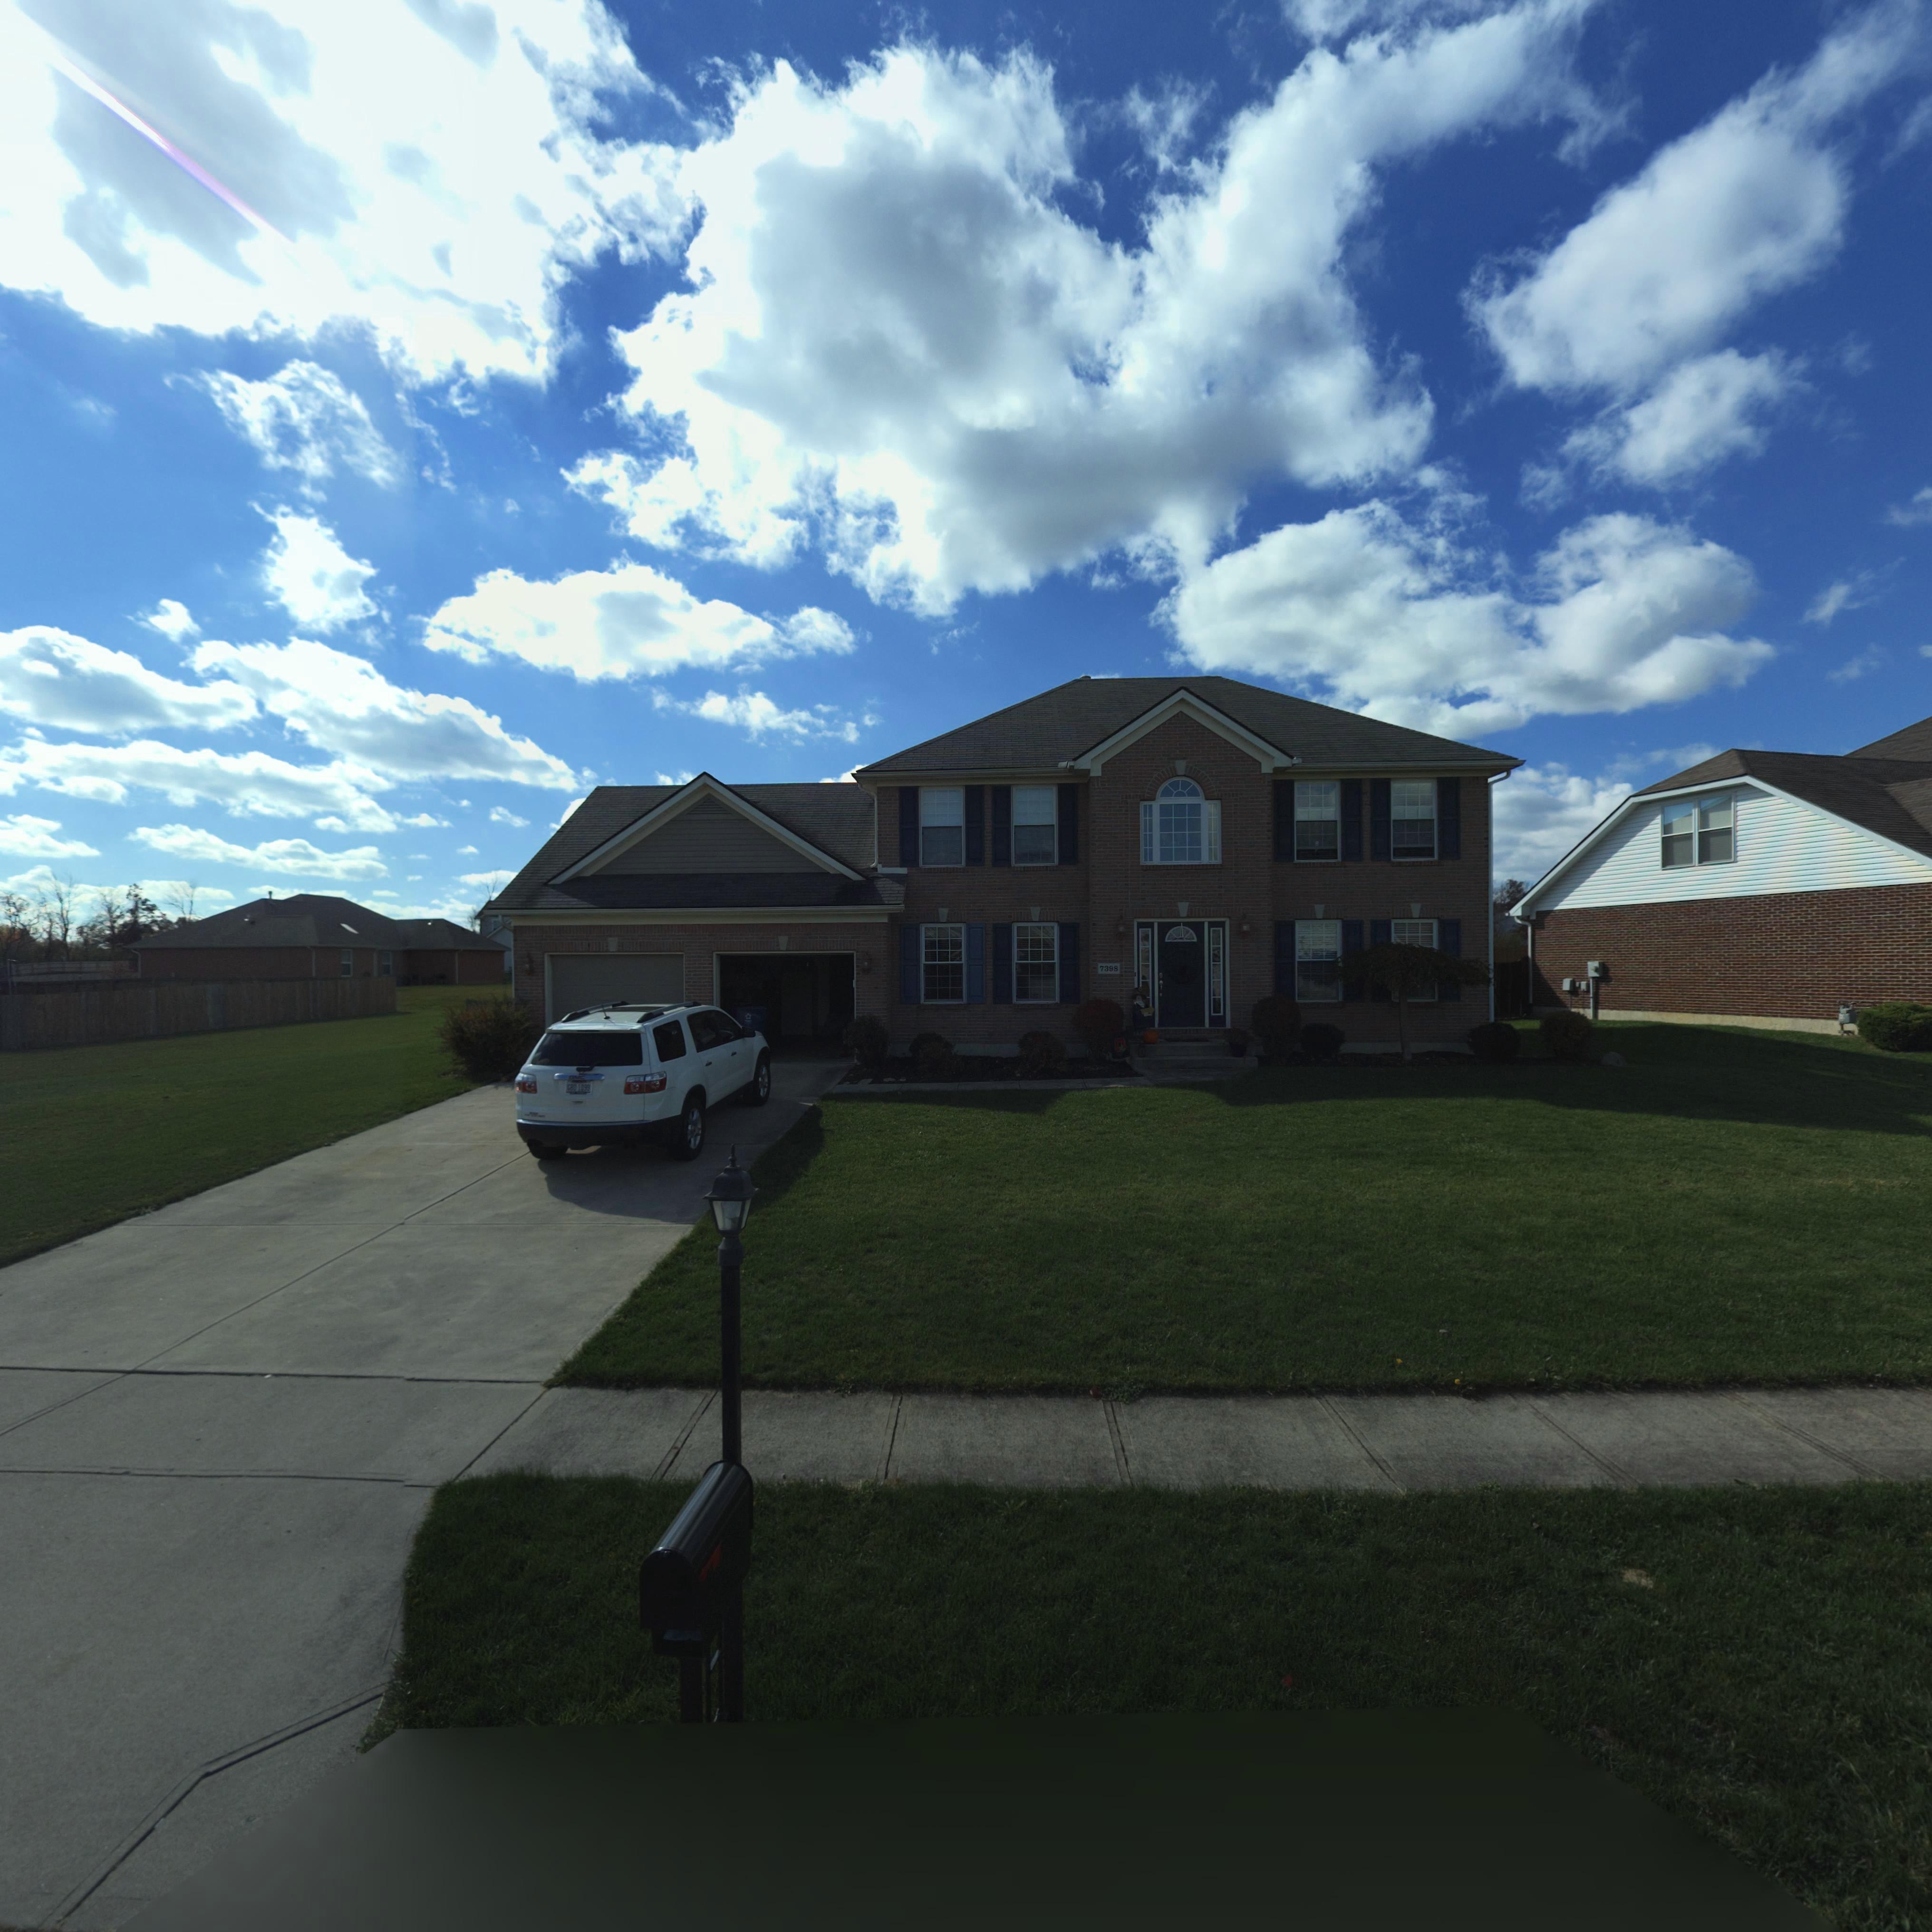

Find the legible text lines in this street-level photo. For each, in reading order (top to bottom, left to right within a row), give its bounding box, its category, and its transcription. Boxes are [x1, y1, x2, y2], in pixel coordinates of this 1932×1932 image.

[1099, 965, 1119, 972] StreetNumber: 7398